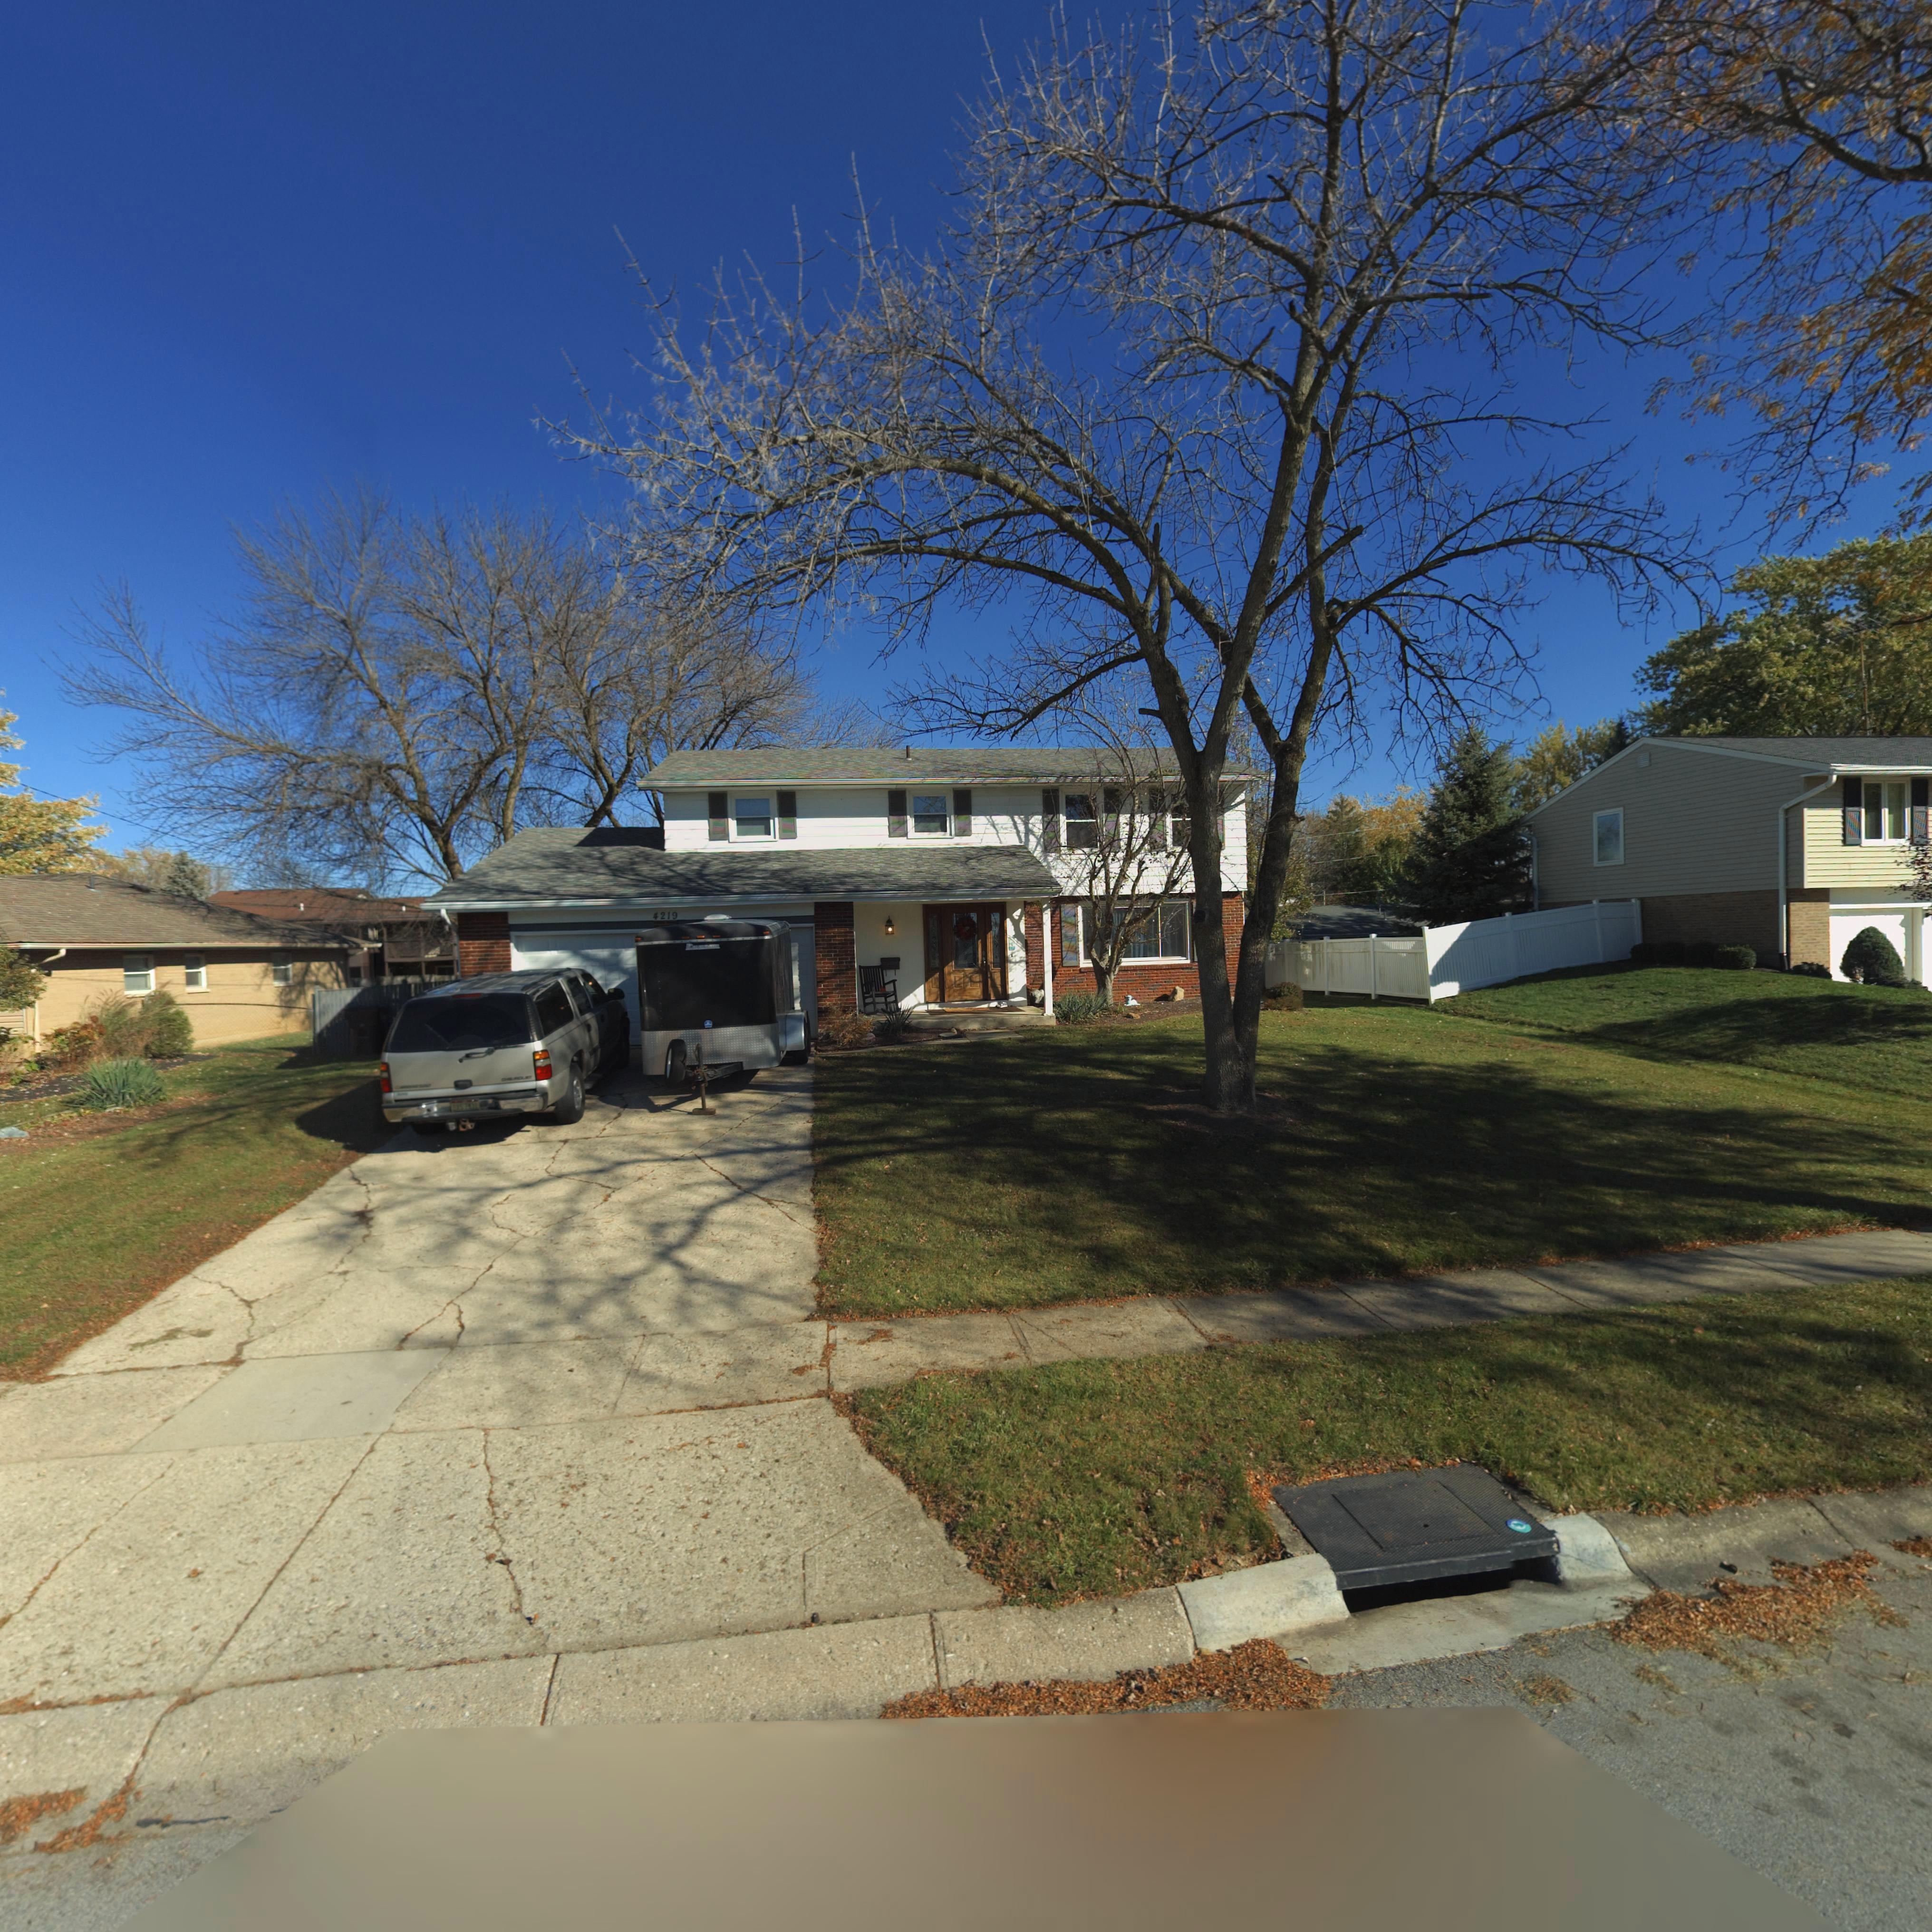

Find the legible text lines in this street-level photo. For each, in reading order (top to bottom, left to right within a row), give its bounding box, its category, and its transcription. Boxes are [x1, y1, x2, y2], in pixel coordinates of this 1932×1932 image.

[652, 910, 678, 921] StreetNumber: 4219